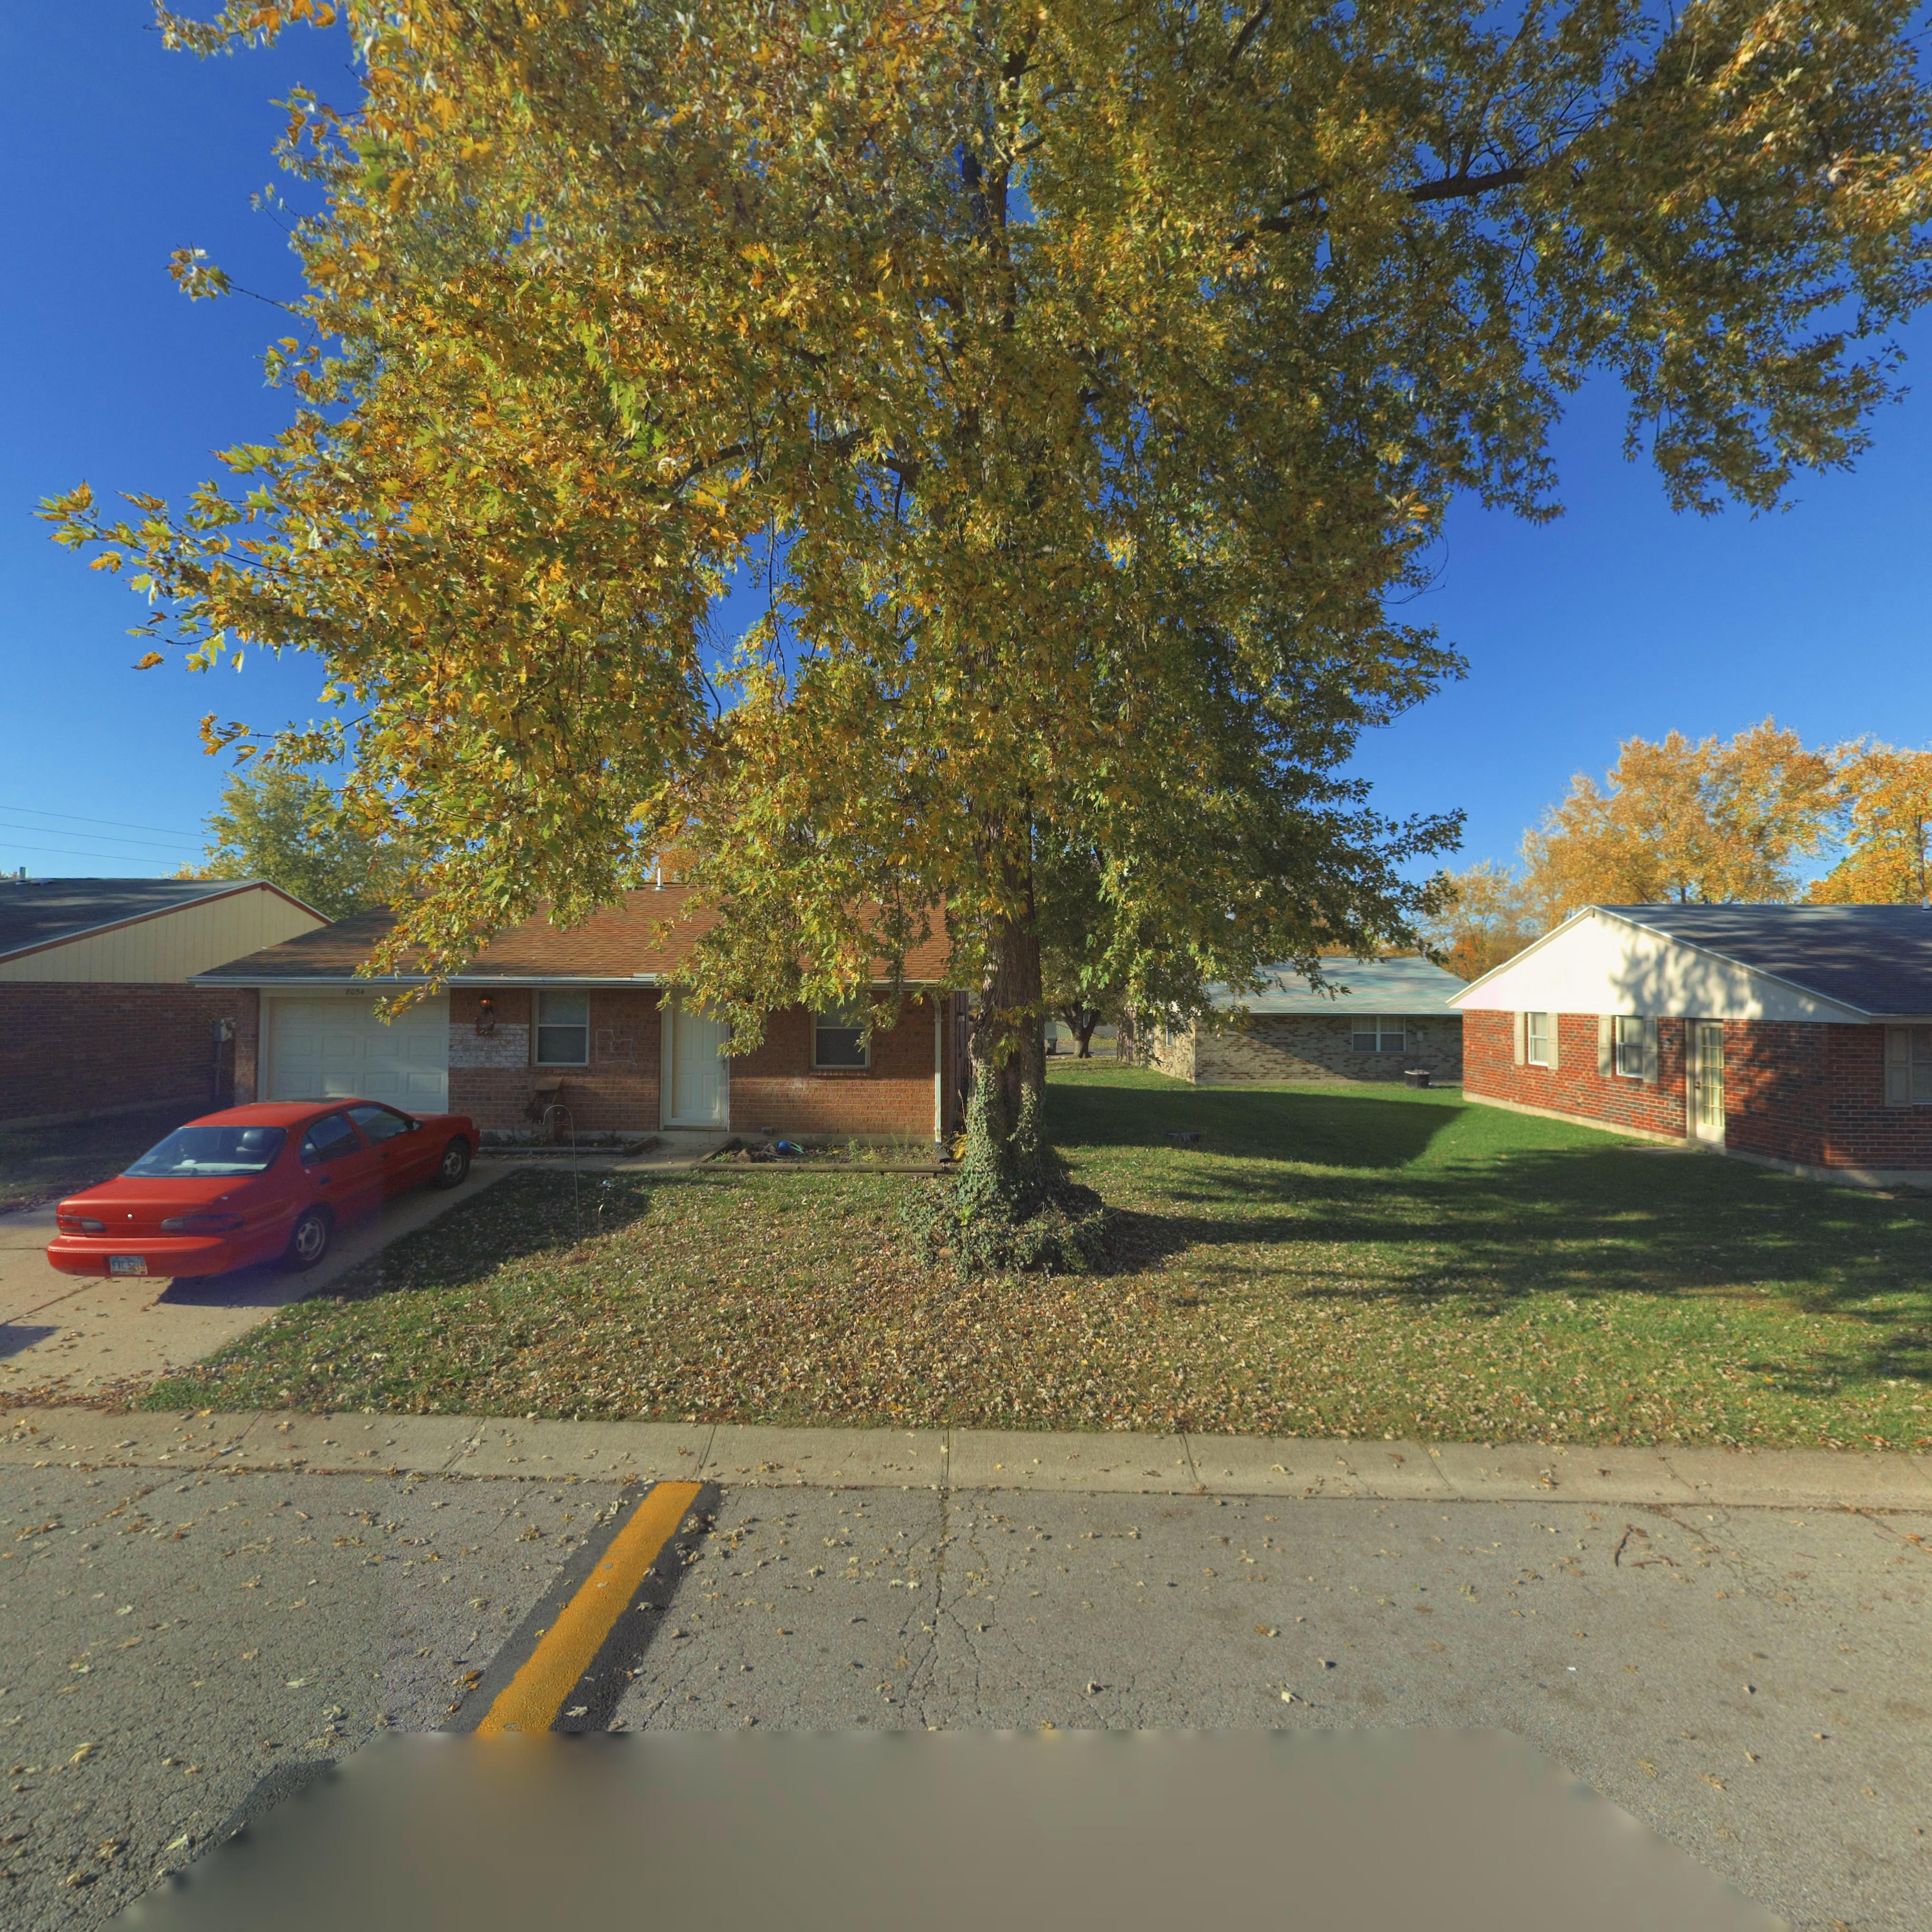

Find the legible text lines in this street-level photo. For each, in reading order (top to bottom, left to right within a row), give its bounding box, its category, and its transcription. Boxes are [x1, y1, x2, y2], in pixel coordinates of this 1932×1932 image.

[344, 987, 366, 996] StreetNumber: 8054